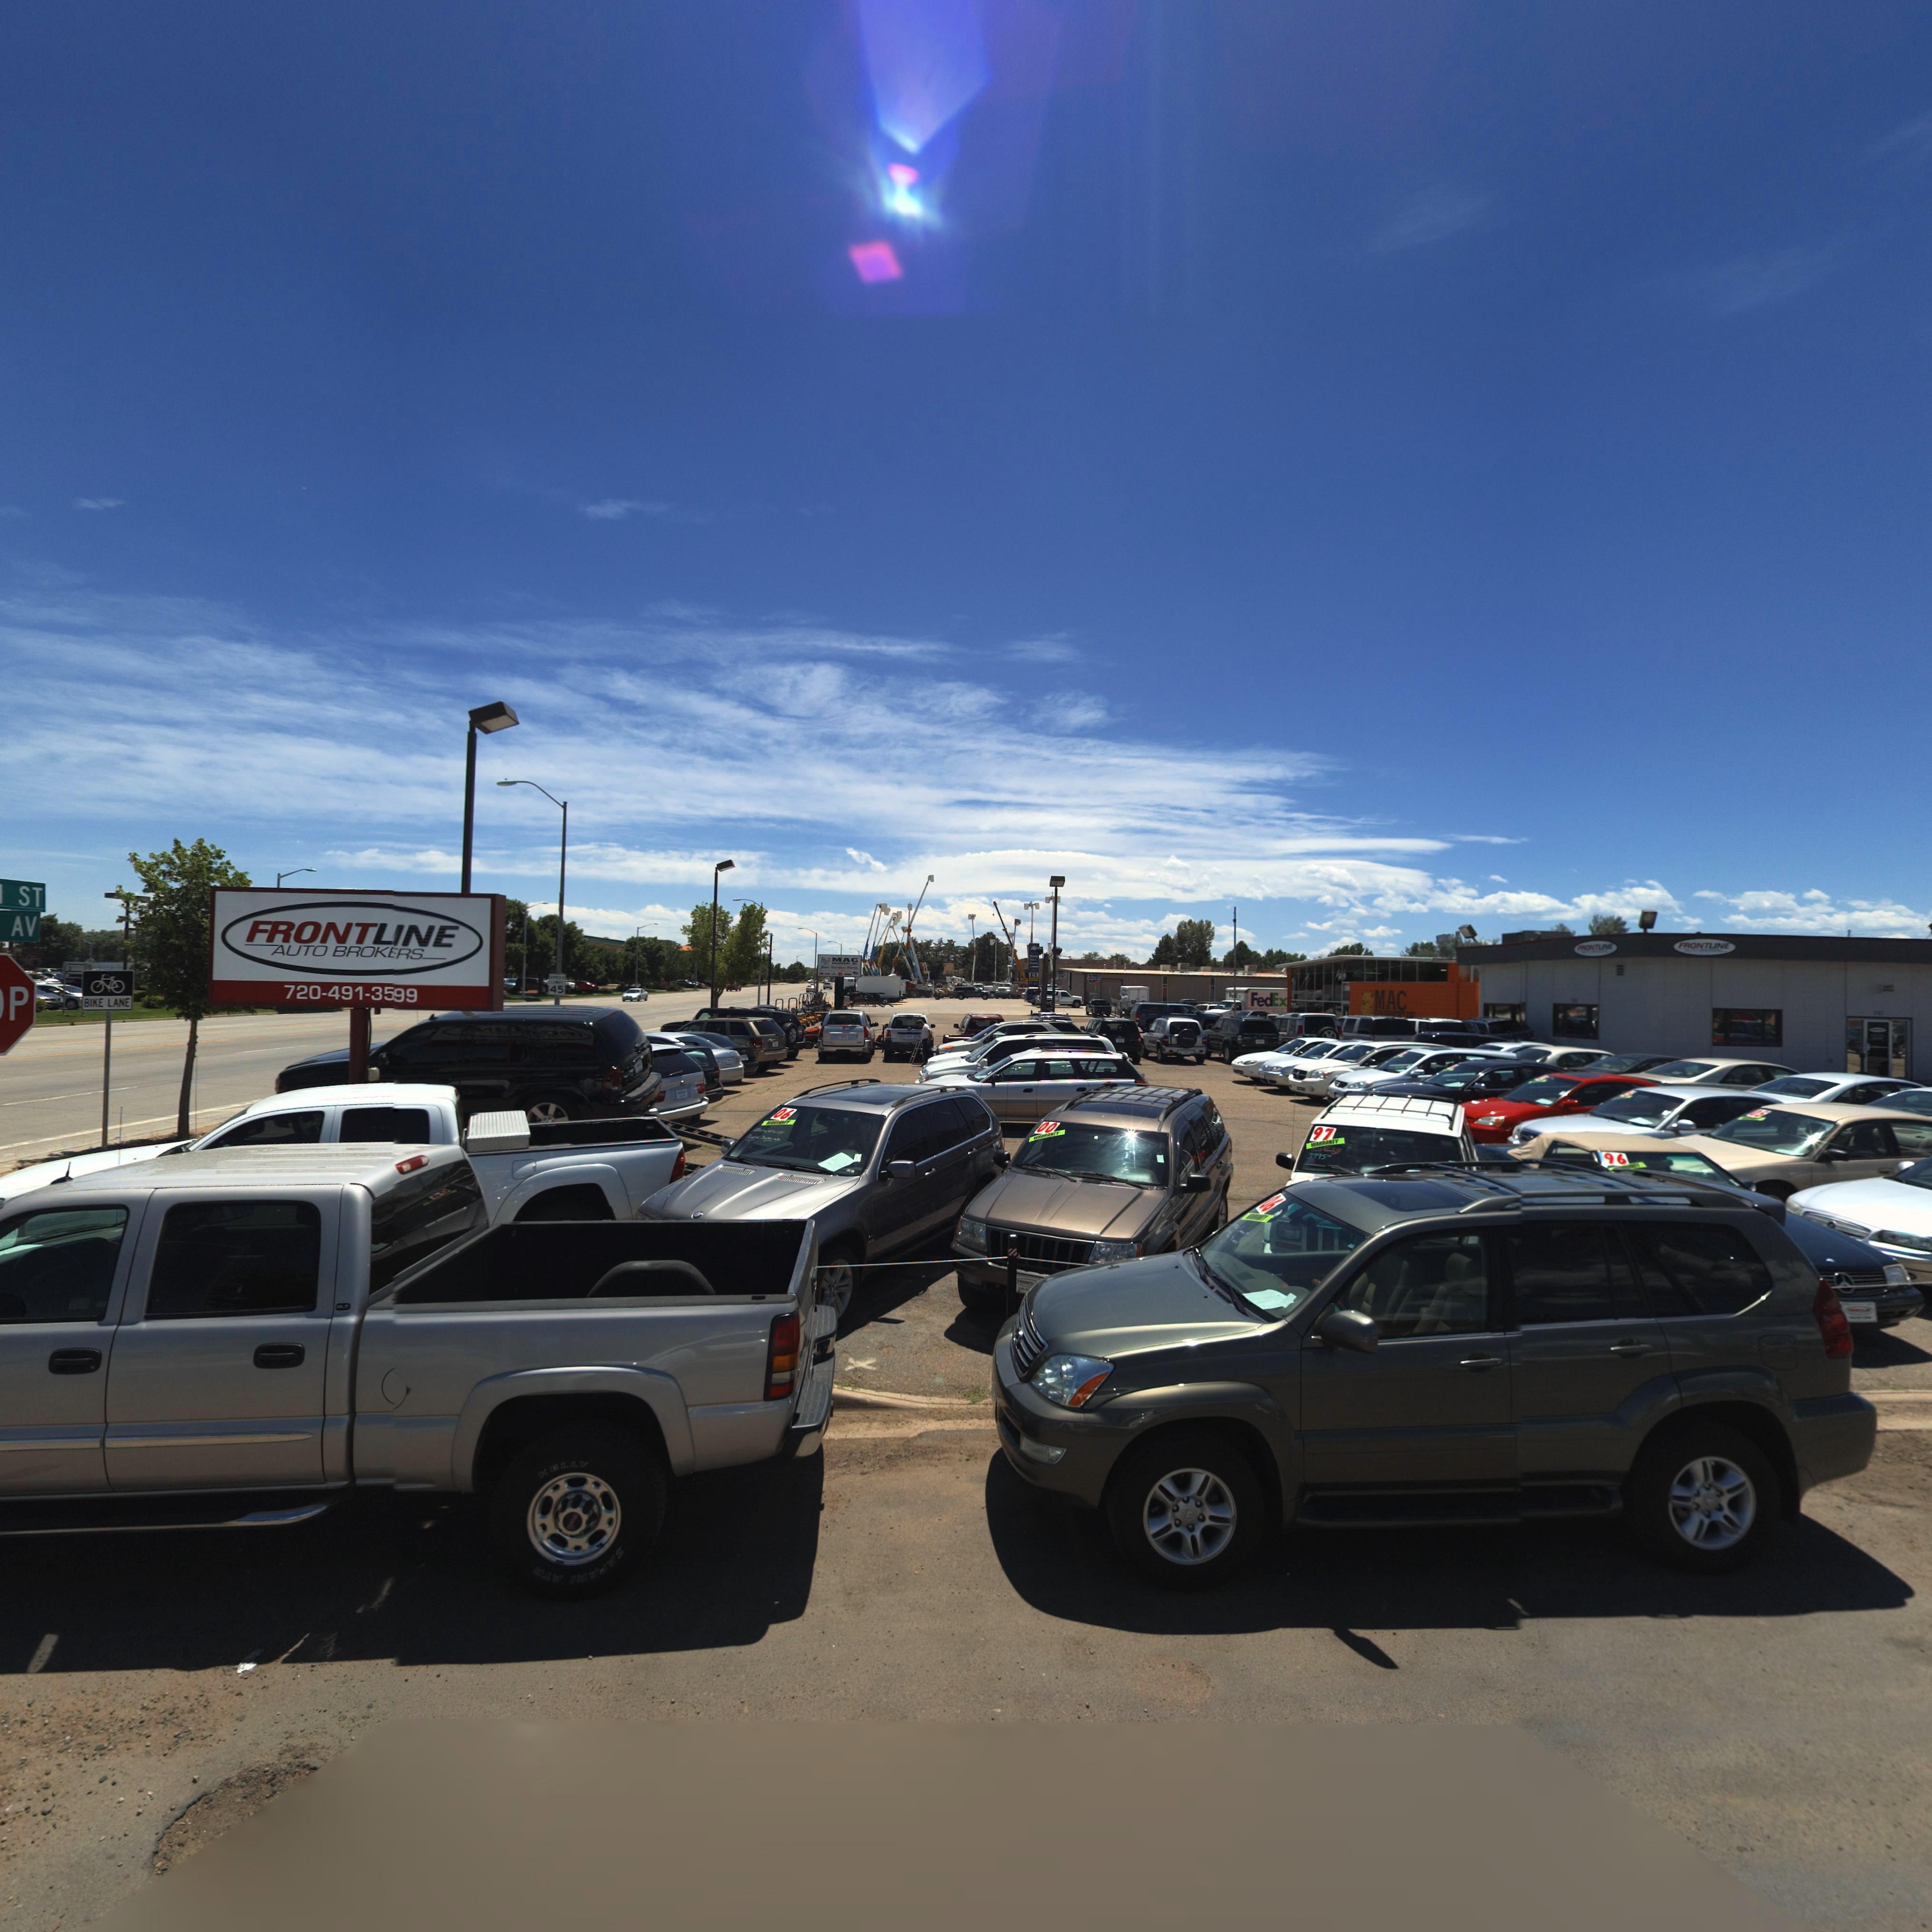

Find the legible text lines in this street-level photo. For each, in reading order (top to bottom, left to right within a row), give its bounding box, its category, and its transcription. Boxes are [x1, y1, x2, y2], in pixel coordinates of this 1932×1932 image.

[18, 885, 43, 908] StreetName: ST
[9, 915, 38, 937] StreetName: AV
[243, 919, 462, 948] BusinessName: FRONTLINE
[269, 943, 425, 961] BusinessName: AUTO BROK*RS
[832, 957, 858, 962] BusinessName: MAC
[1577, 943, 1613, 951] BusinessName: FRONTLINE
[1678, 942, 1730, 949] BusinessName: FRONTLINE
[1086, 975, 1102, 979] BusinessName: ******S*
[1375, 989, 1406, 1011] BusinessName: MAC